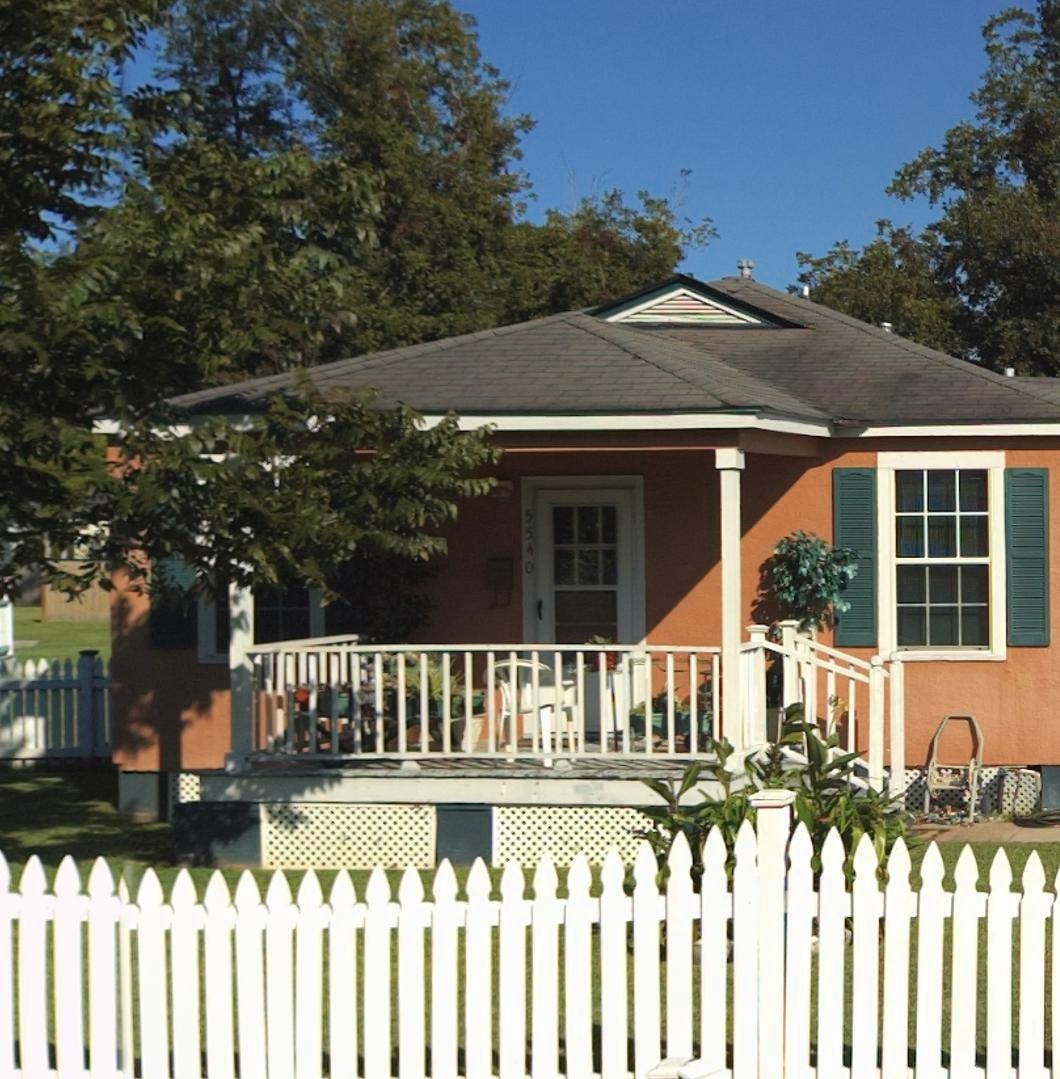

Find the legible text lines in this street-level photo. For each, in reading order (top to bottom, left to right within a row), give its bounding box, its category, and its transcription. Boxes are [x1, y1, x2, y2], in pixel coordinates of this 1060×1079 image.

[524, 507, 535, 575] StreetNumber: 5540